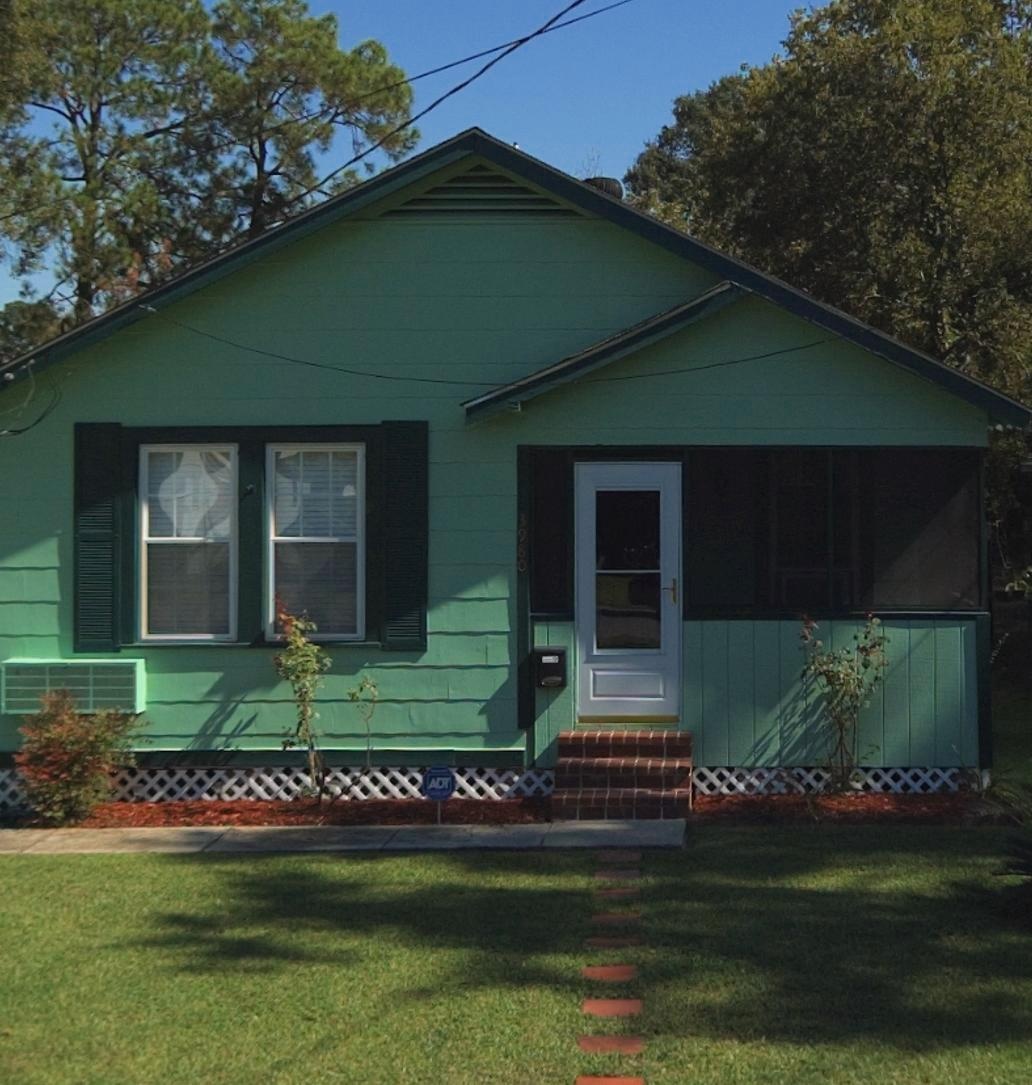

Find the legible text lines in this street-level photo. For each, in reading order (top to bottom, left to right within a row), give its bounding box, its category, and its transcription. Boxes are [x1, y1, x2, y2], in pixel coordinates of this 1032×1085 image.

[517, 511, 527, 573] StreetNumber: 3980
[425, 776, 451, 791] None: ADT